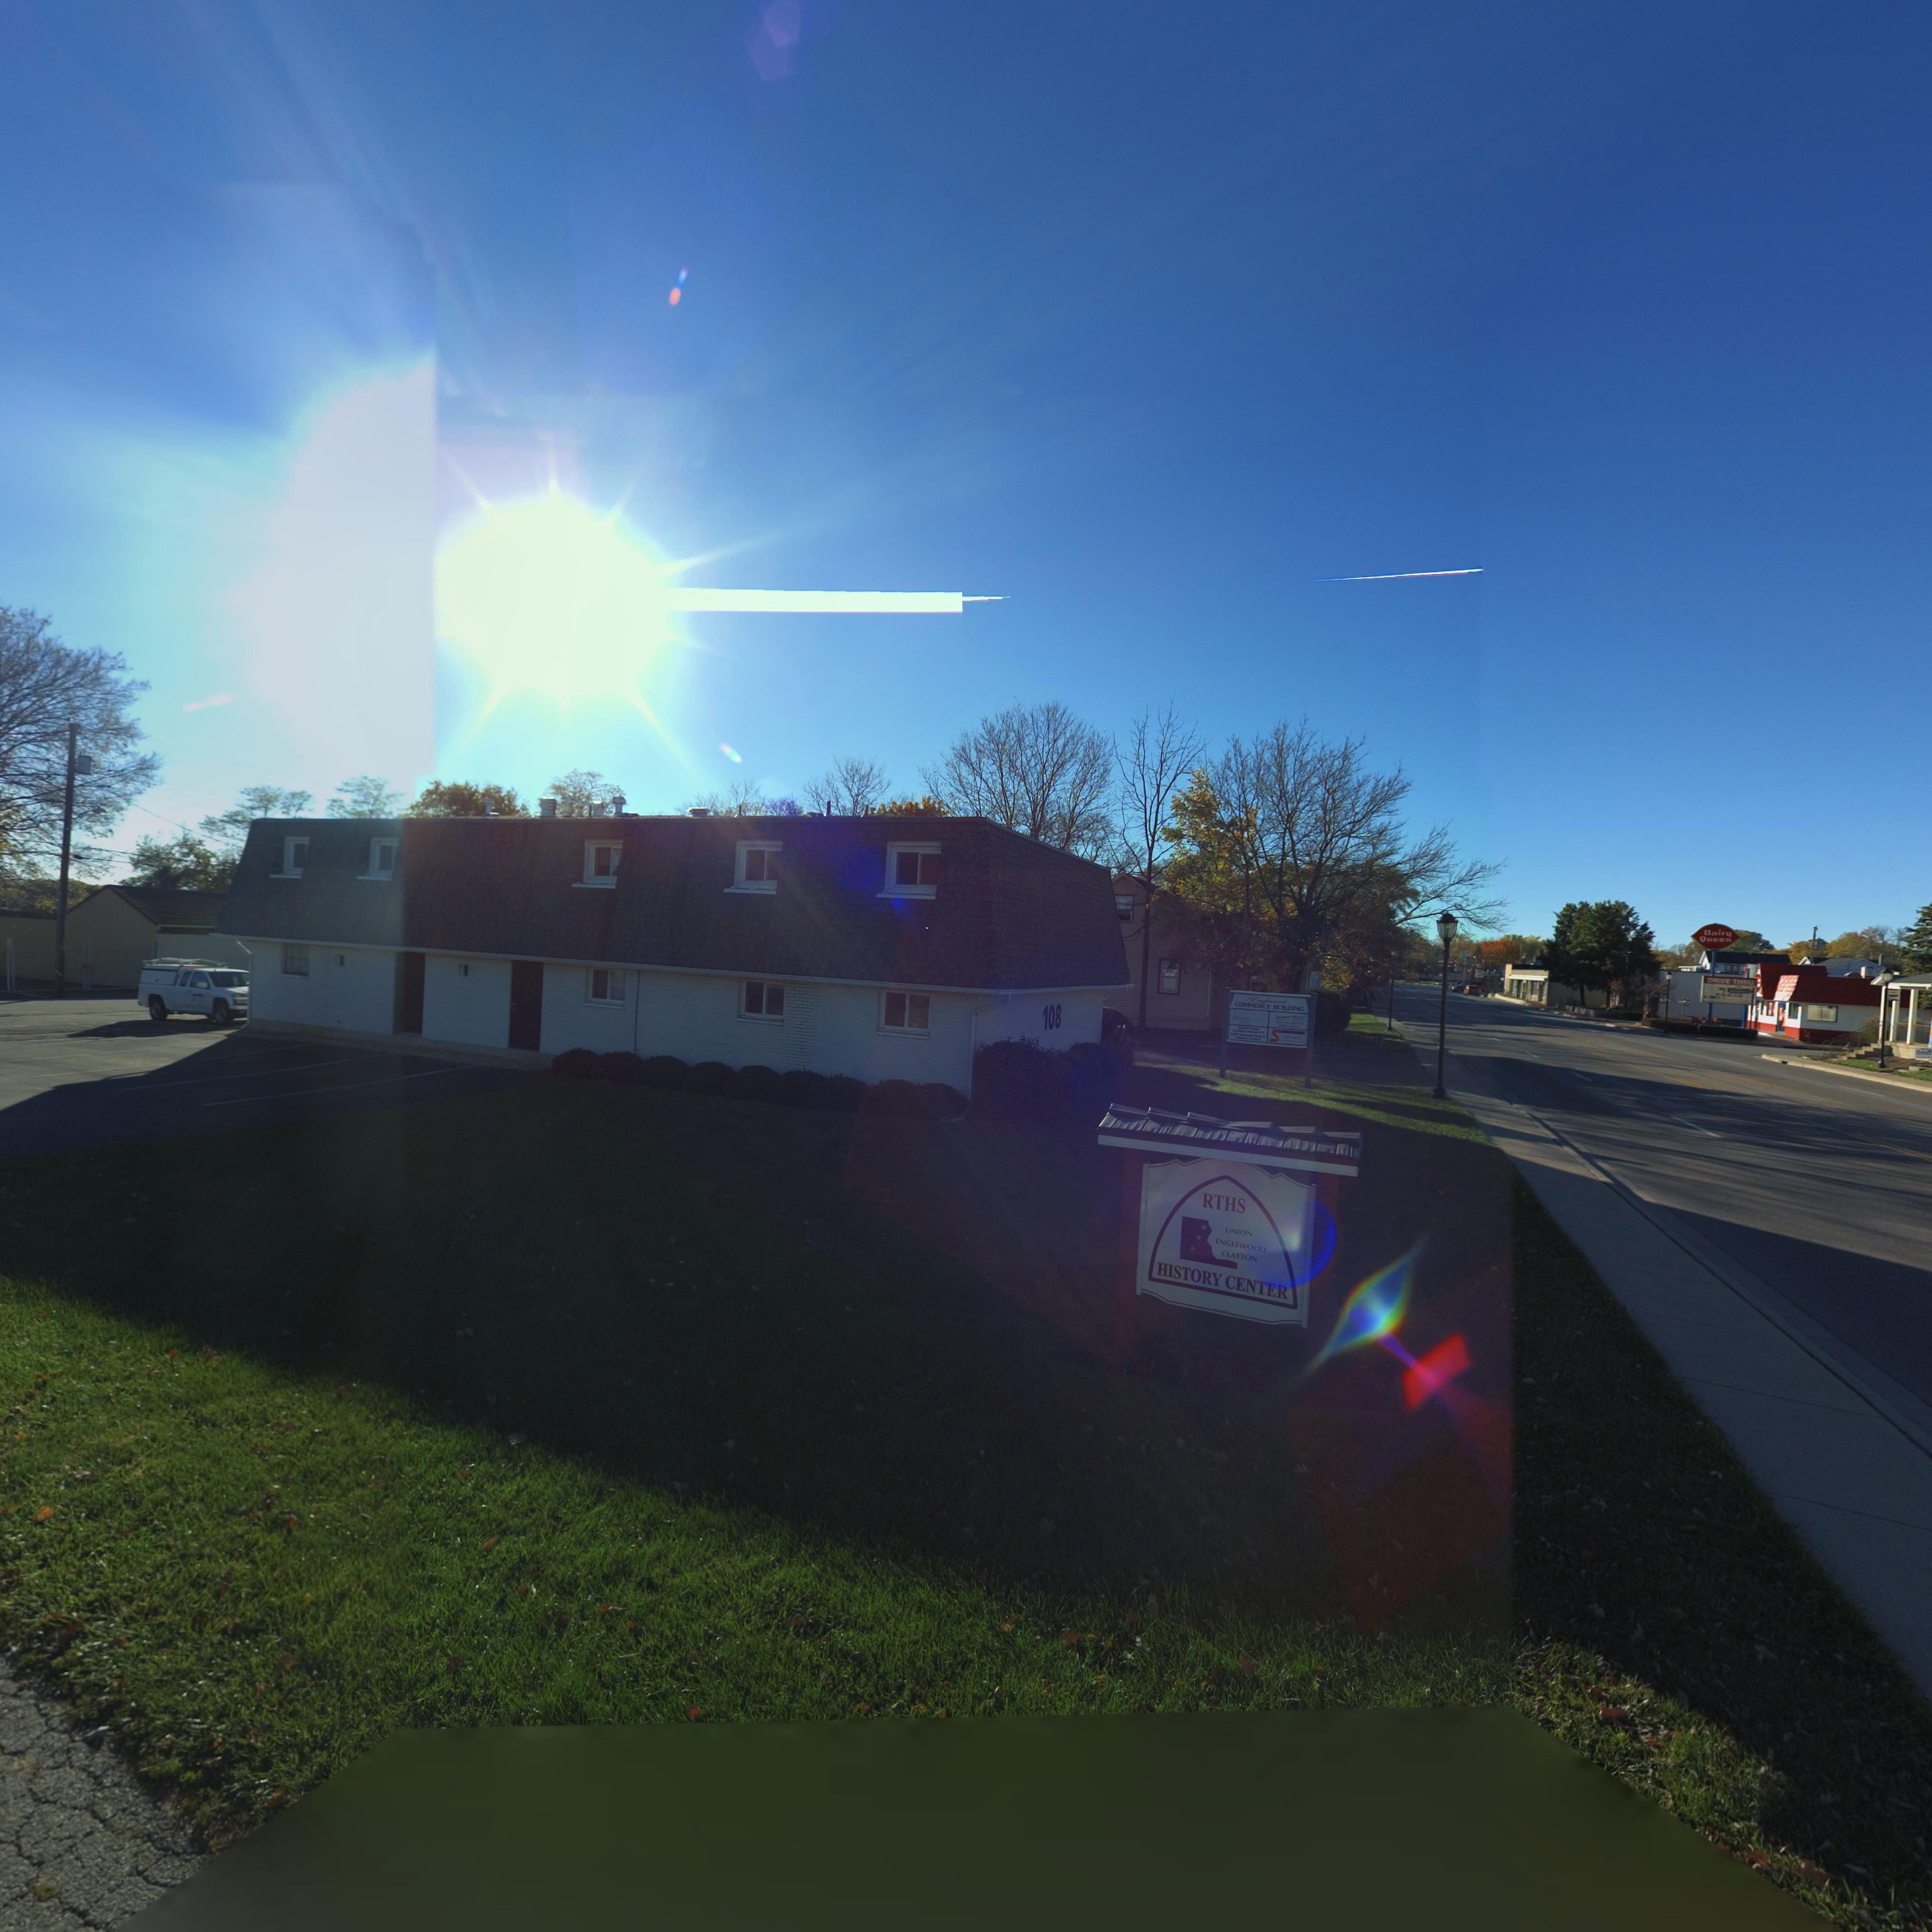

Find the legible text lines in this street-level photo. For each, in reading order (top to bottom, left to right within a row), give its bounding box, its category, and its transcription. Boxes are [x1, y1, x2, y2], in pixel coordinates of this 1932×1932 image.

[1042, 1003, 1062, 1031] StreetNumber: 108